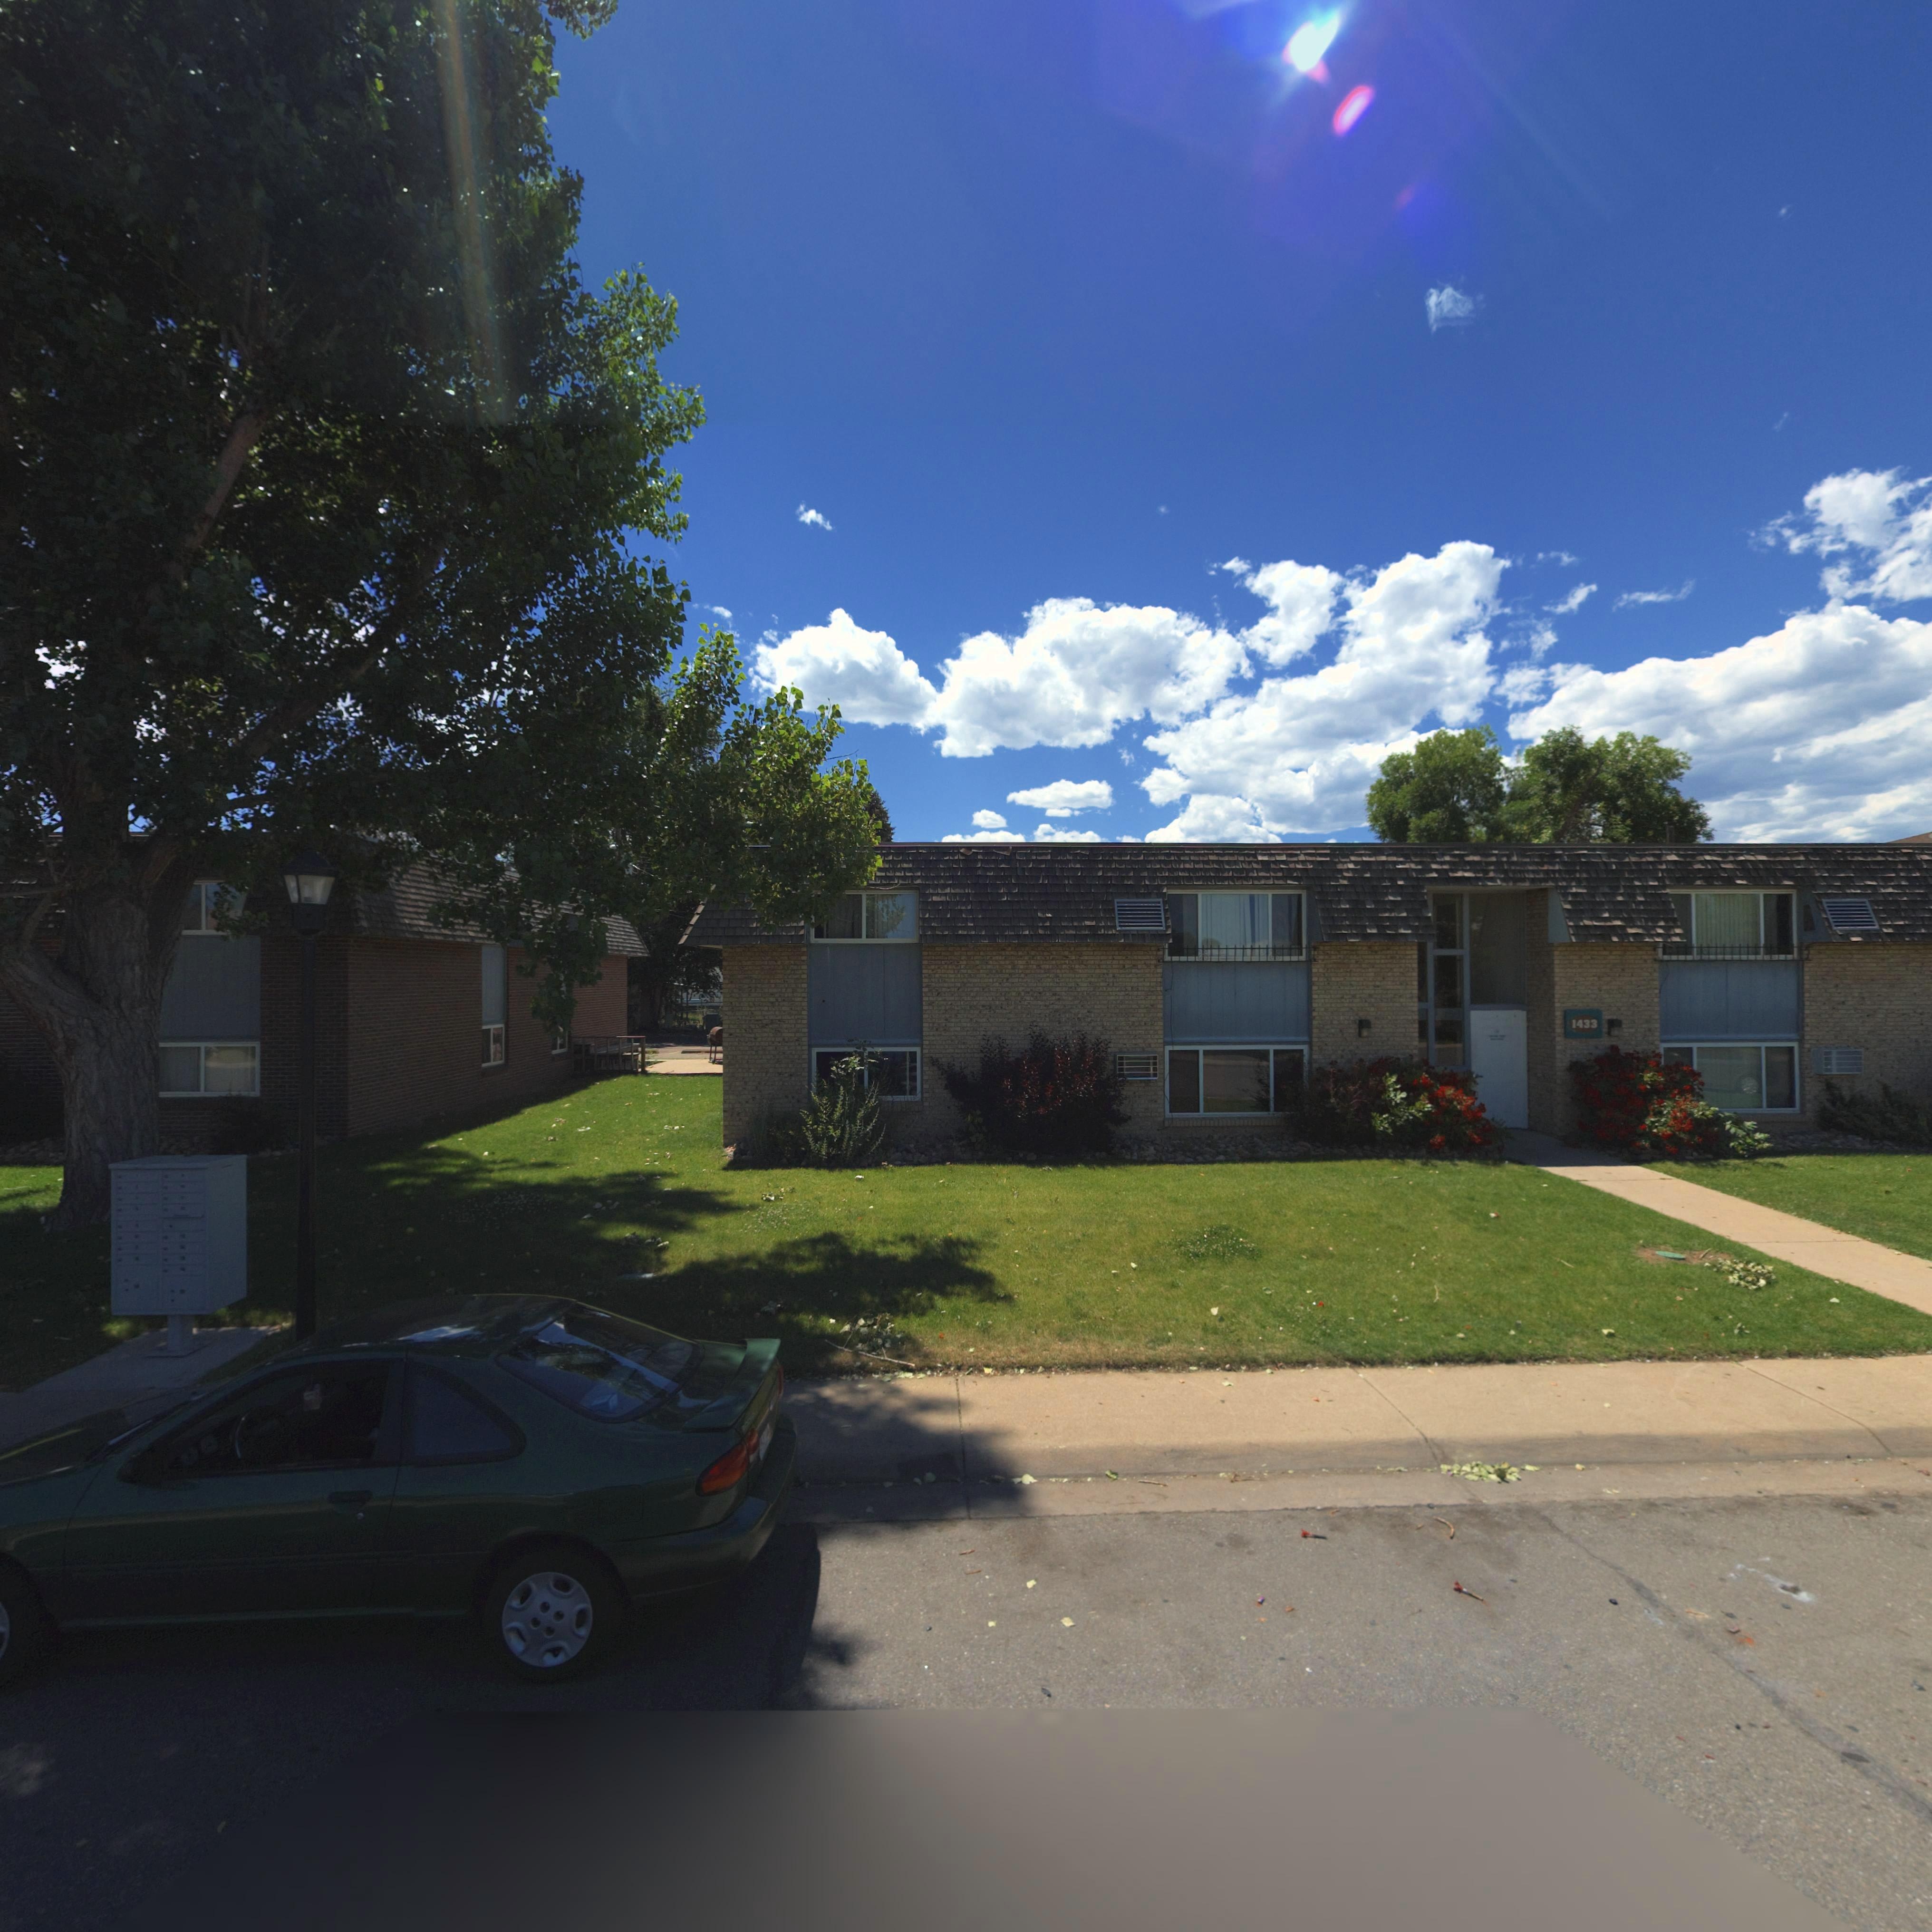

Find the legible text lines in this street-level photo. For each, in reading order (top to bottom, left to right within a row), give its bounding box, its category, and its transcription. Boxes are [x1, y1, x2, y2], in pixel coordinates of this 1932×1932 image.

[1572, 1018, 1597, 1028] StreetNumber: 1433